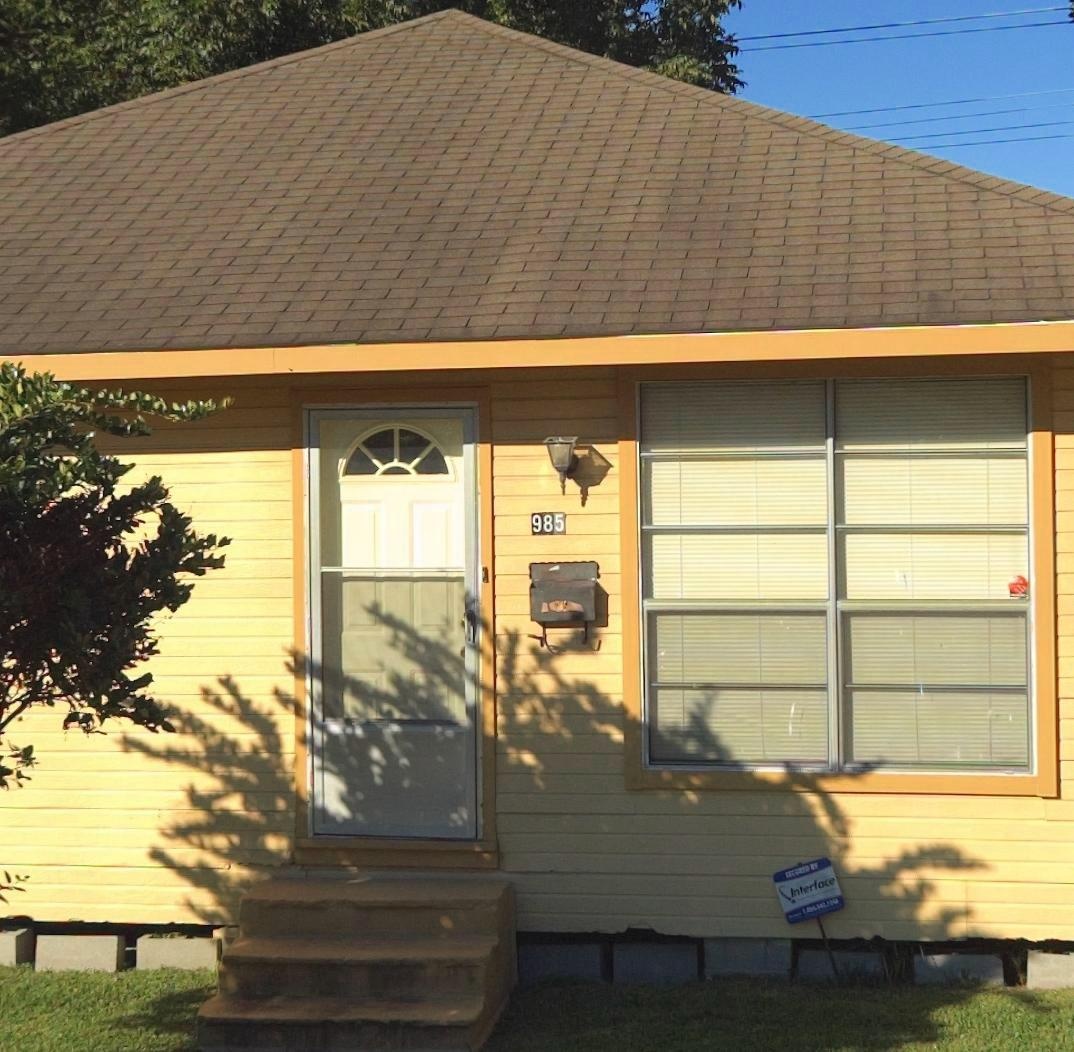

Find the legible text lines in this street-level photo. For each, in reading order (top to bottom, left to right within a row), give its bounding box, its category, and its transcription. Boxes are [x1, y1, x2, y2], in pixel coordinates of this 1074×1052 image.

[531, 511, 566, 534] StreetNumber: 985
[788, 875, 838, 900] None: Interface